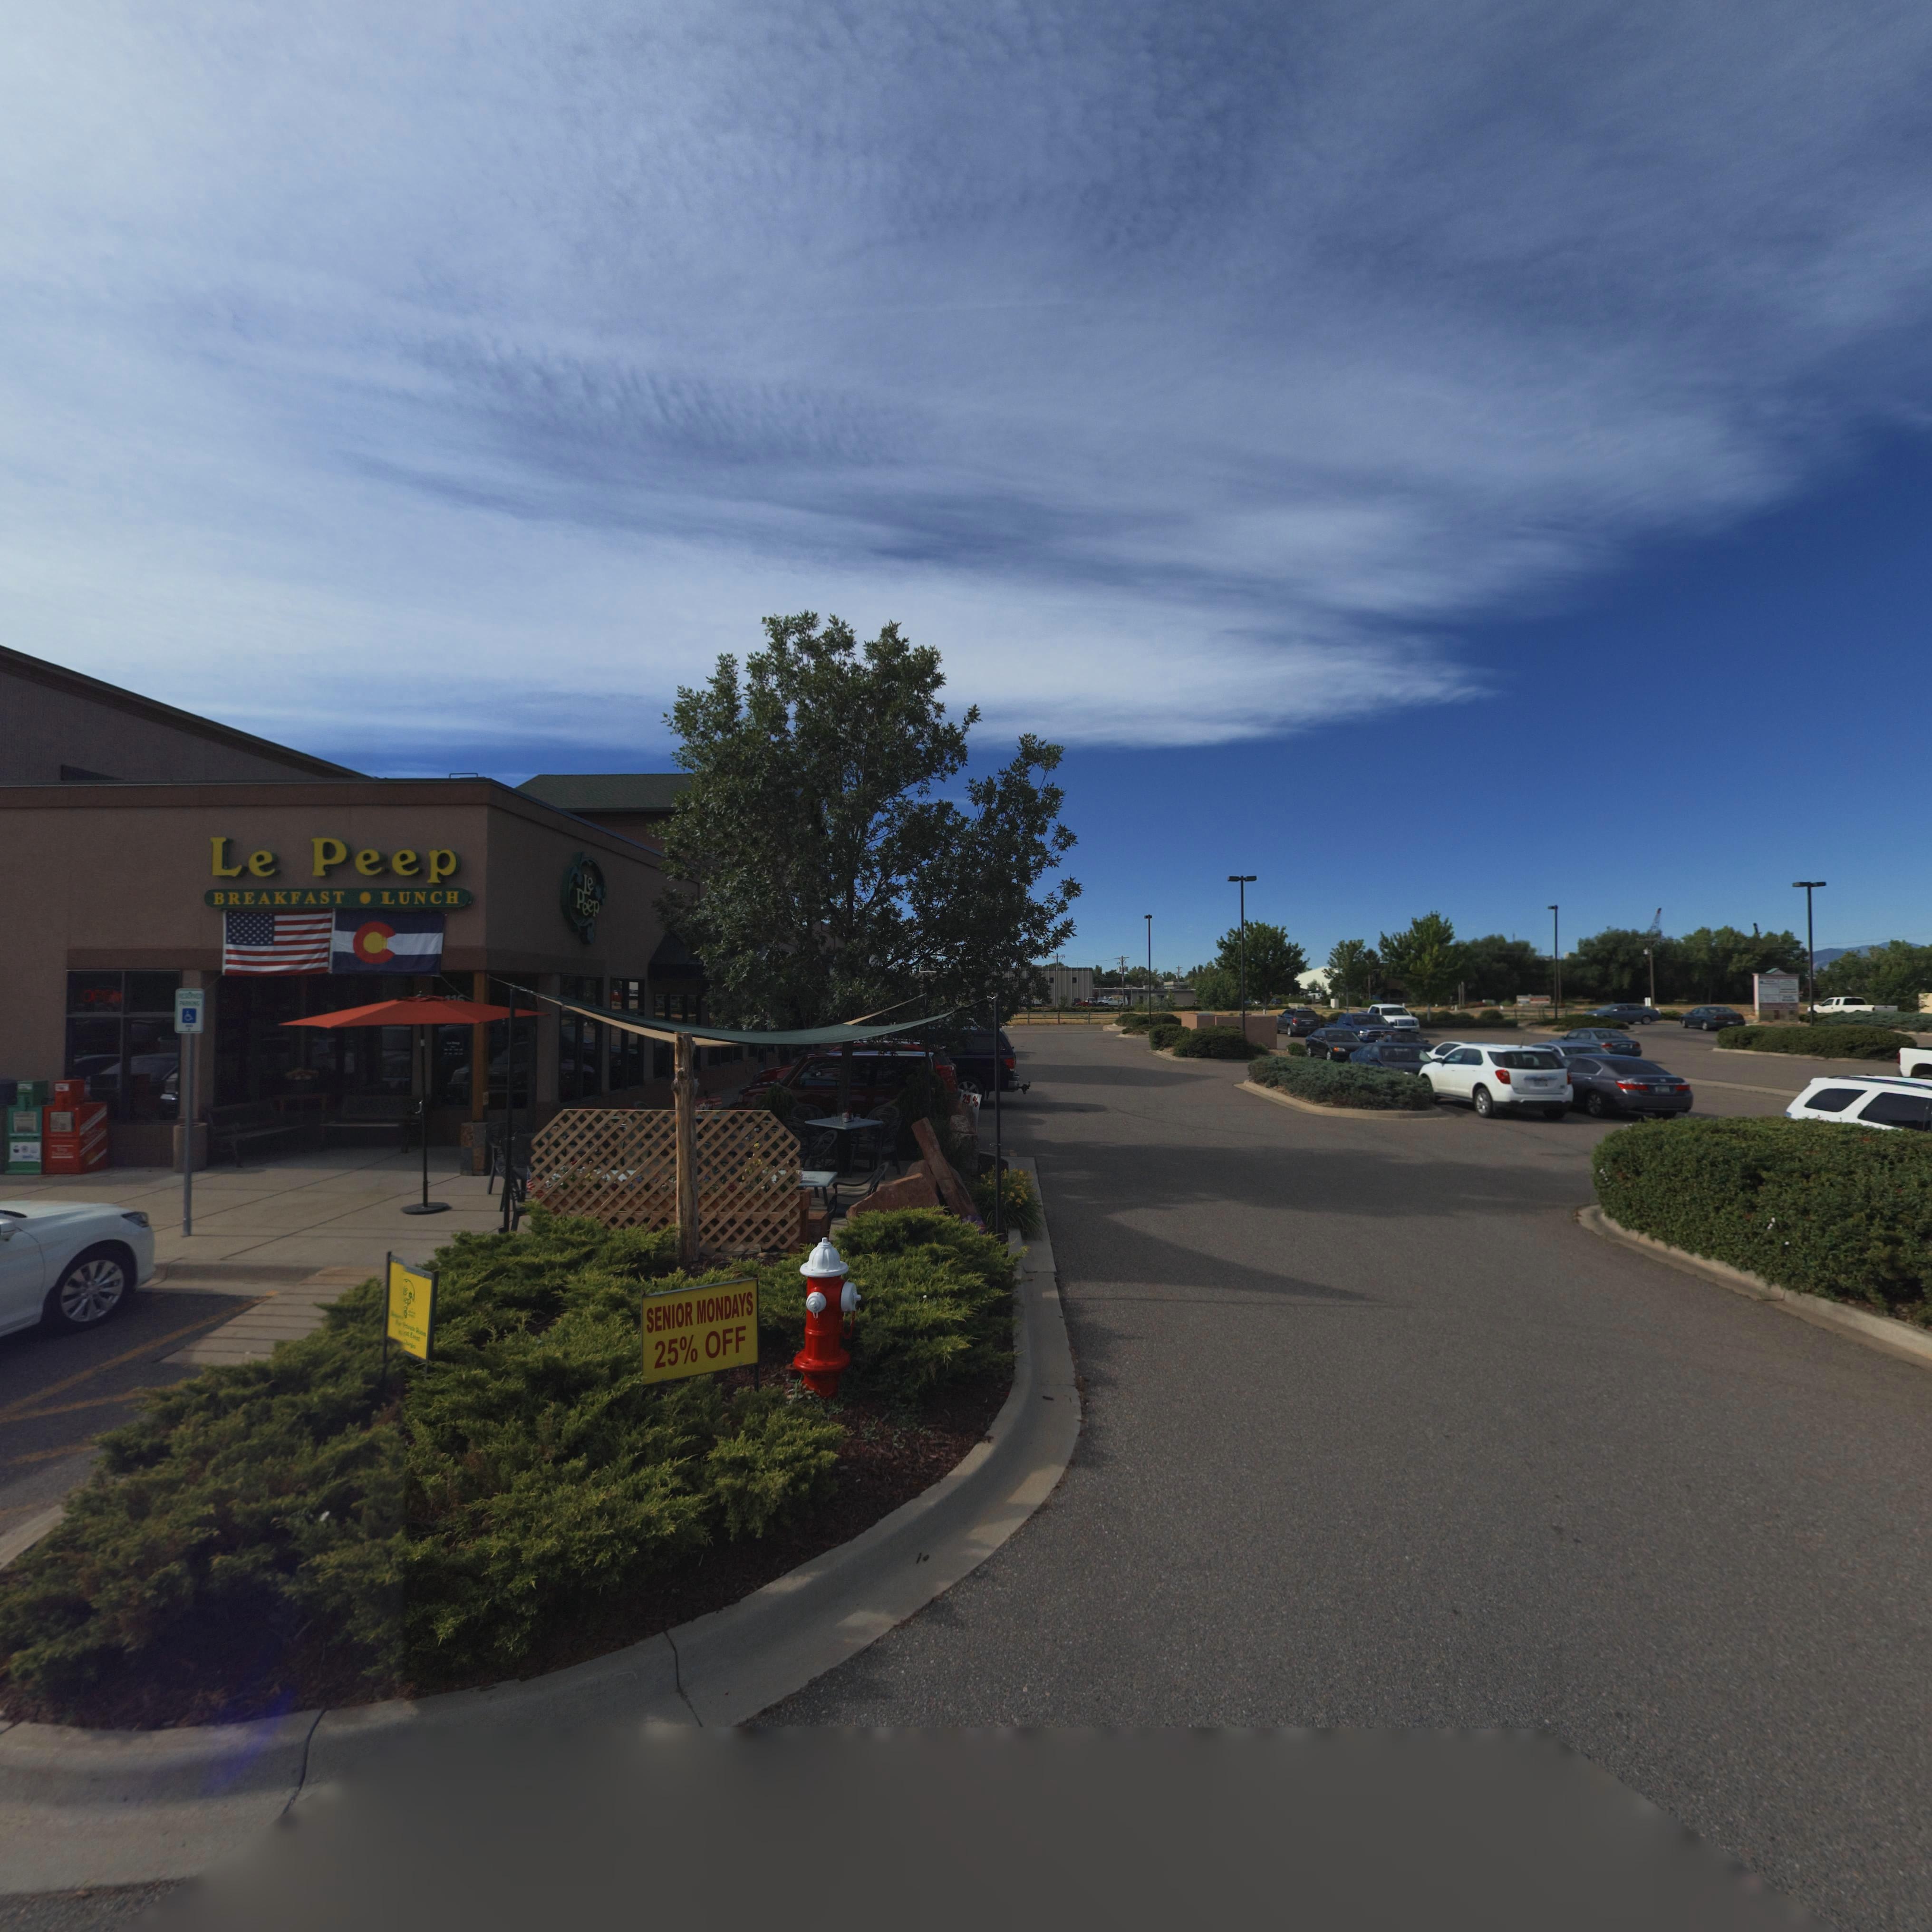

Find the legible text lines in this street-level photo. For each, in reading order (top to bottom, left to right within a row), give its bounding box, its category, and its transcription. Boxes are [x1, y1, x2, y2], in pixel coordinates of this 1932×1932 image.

[209, 836, 462, 885] BusinessName: Le Peep
[582, 874, 594, 896] BusinessName: Le 
[574, 888, 599, 917] BusinessName: Peep
[403, 1285, 408, 1295] BusinessName: Le
[404, 1297, 411, 1305] BusinessName: ep